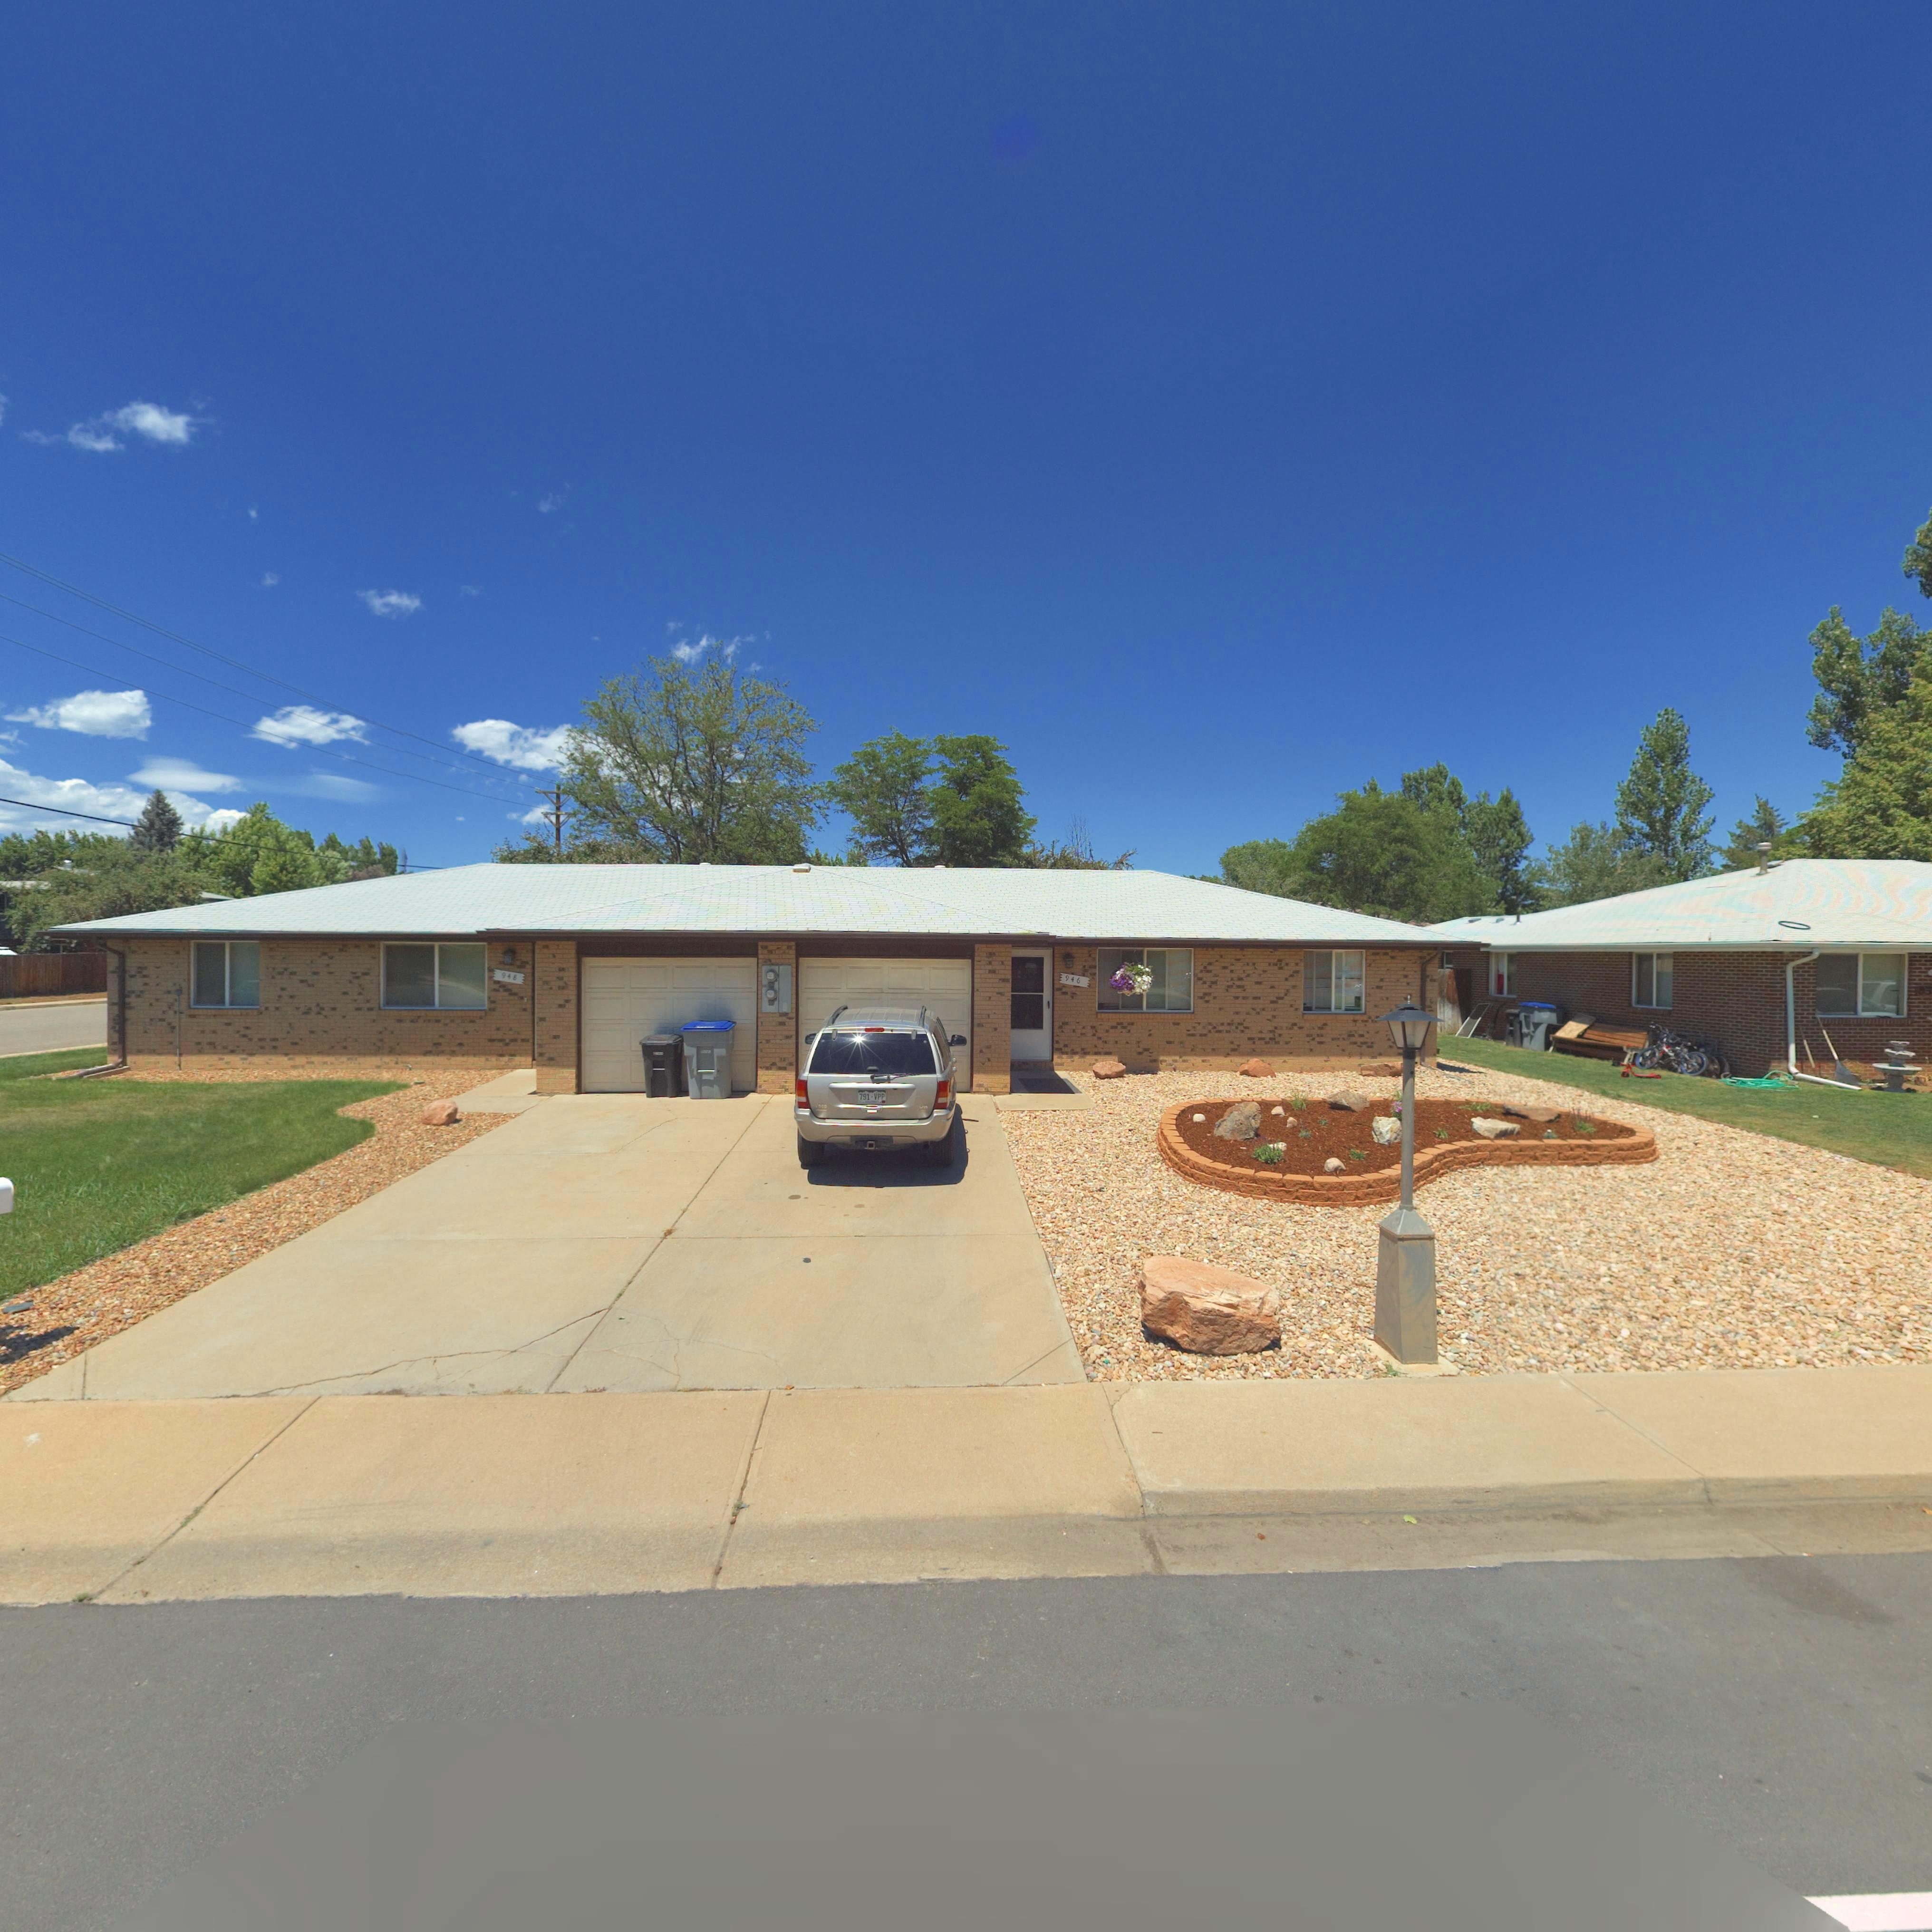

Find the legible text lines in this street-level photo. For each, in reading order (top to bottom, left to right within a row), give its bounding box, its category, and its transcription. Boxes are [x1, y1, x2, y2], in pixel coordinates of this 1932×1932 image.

[501, 971, 518, 981] StreetNumber: 948
[1065, 975, 1080, 984] StreetNumber: 946
[1918, 986, 1932, 995] StreetNumber: *3